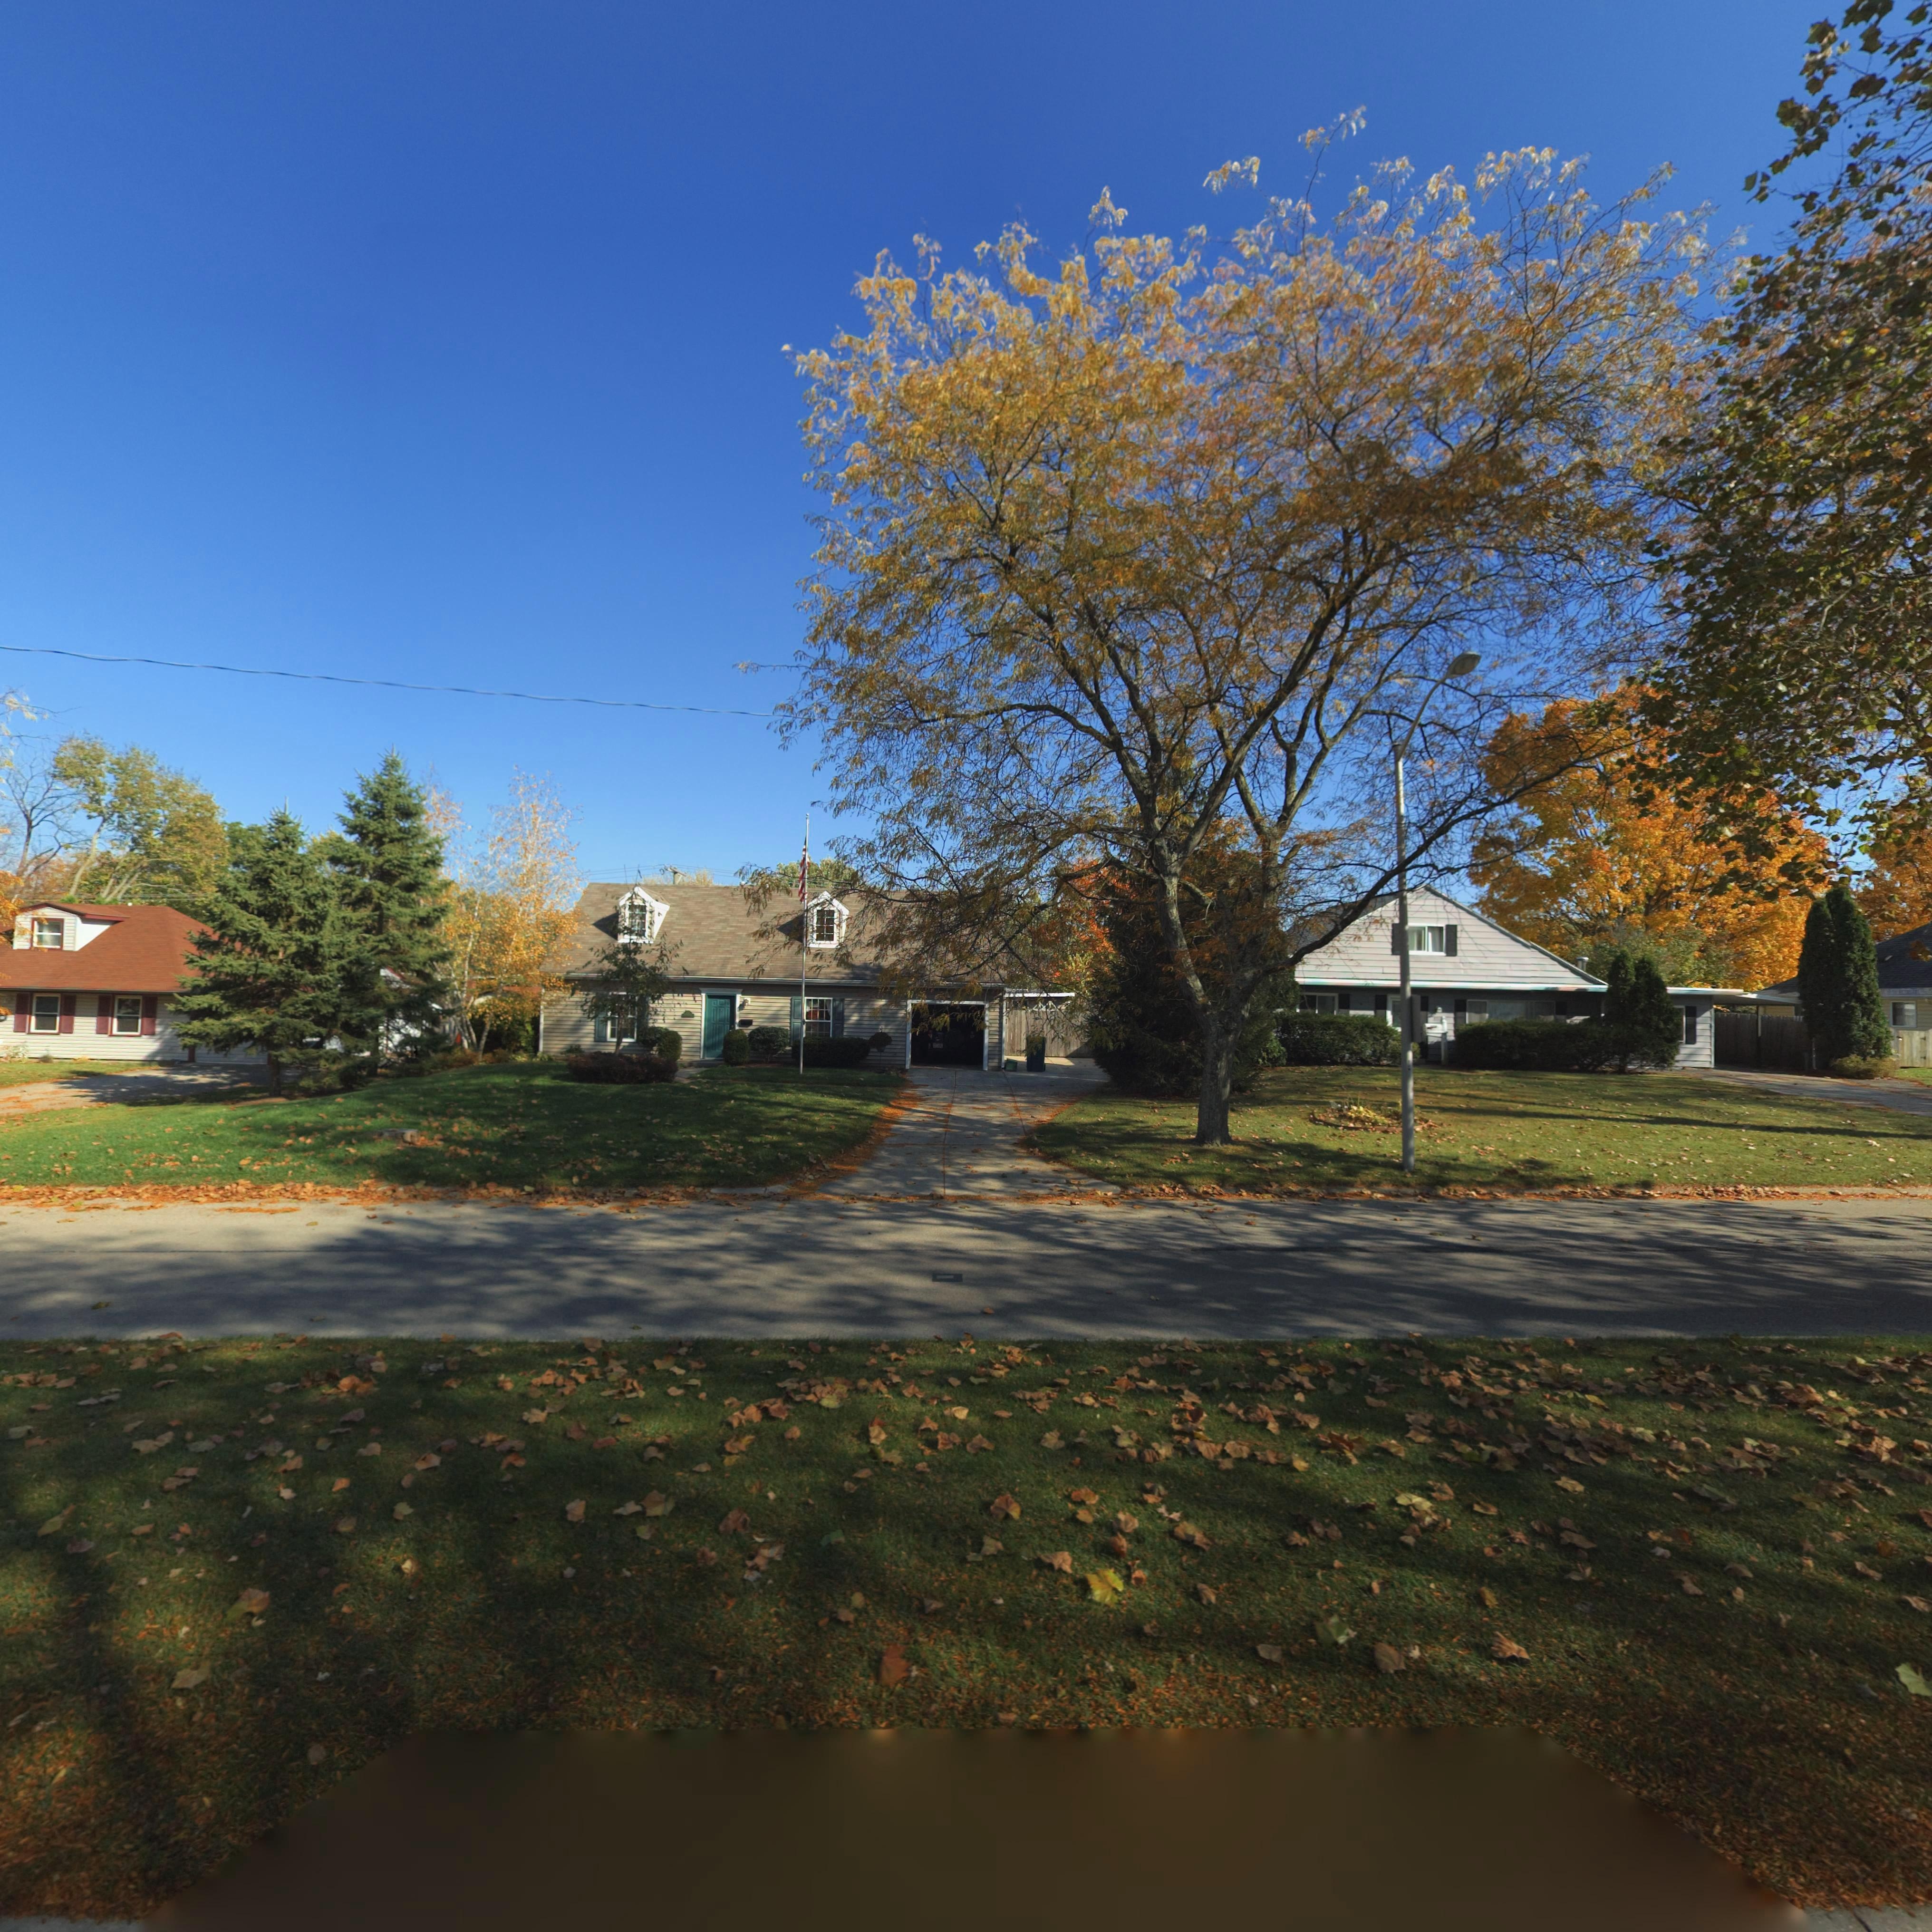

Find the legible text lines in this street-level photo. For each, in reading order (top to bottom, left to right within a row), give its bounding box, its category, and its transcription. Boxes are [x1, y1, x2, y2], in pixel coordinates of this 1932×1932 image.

[1433, 1016, 1442, 1022] StreetNumber: 3**